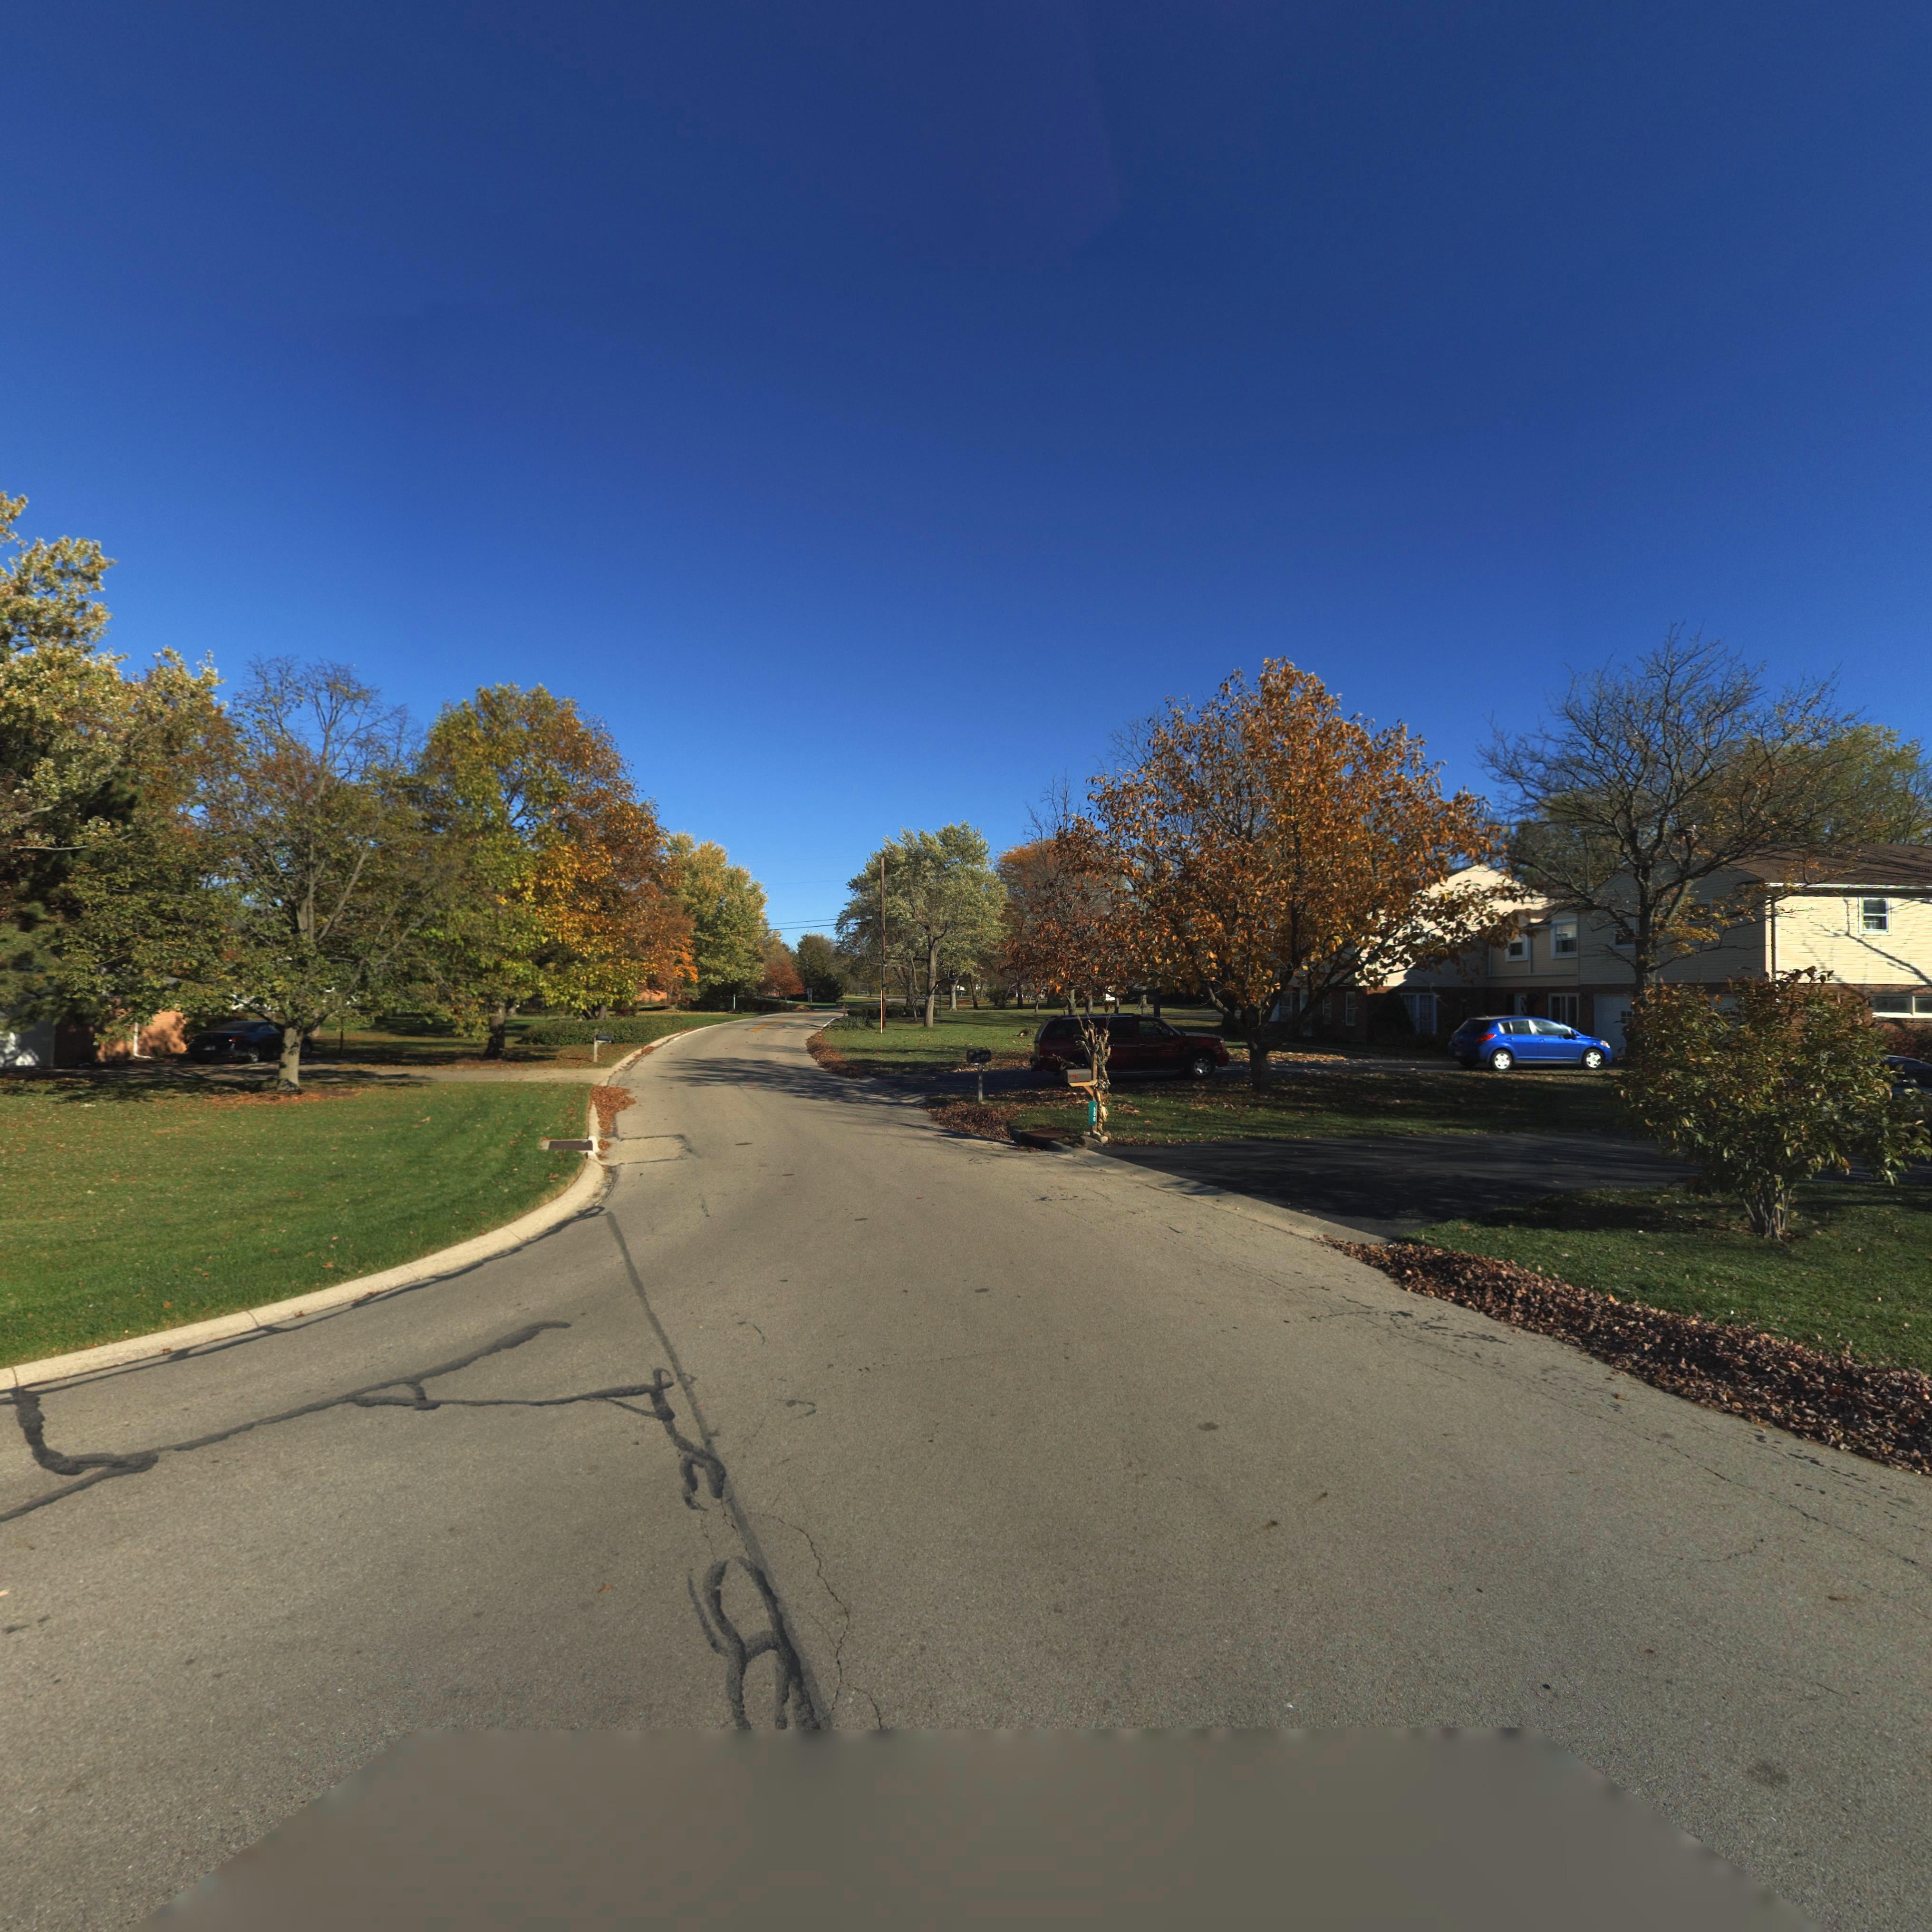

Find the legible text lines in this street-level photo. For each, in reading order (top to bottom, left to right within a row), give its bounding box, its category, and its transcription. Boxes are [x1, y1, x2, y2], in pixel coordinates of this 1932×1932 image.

[976, 1054, 989, 1059] StreetNumber: 484
[1092, 1106, 1096, 1121] StreetNumber: 500